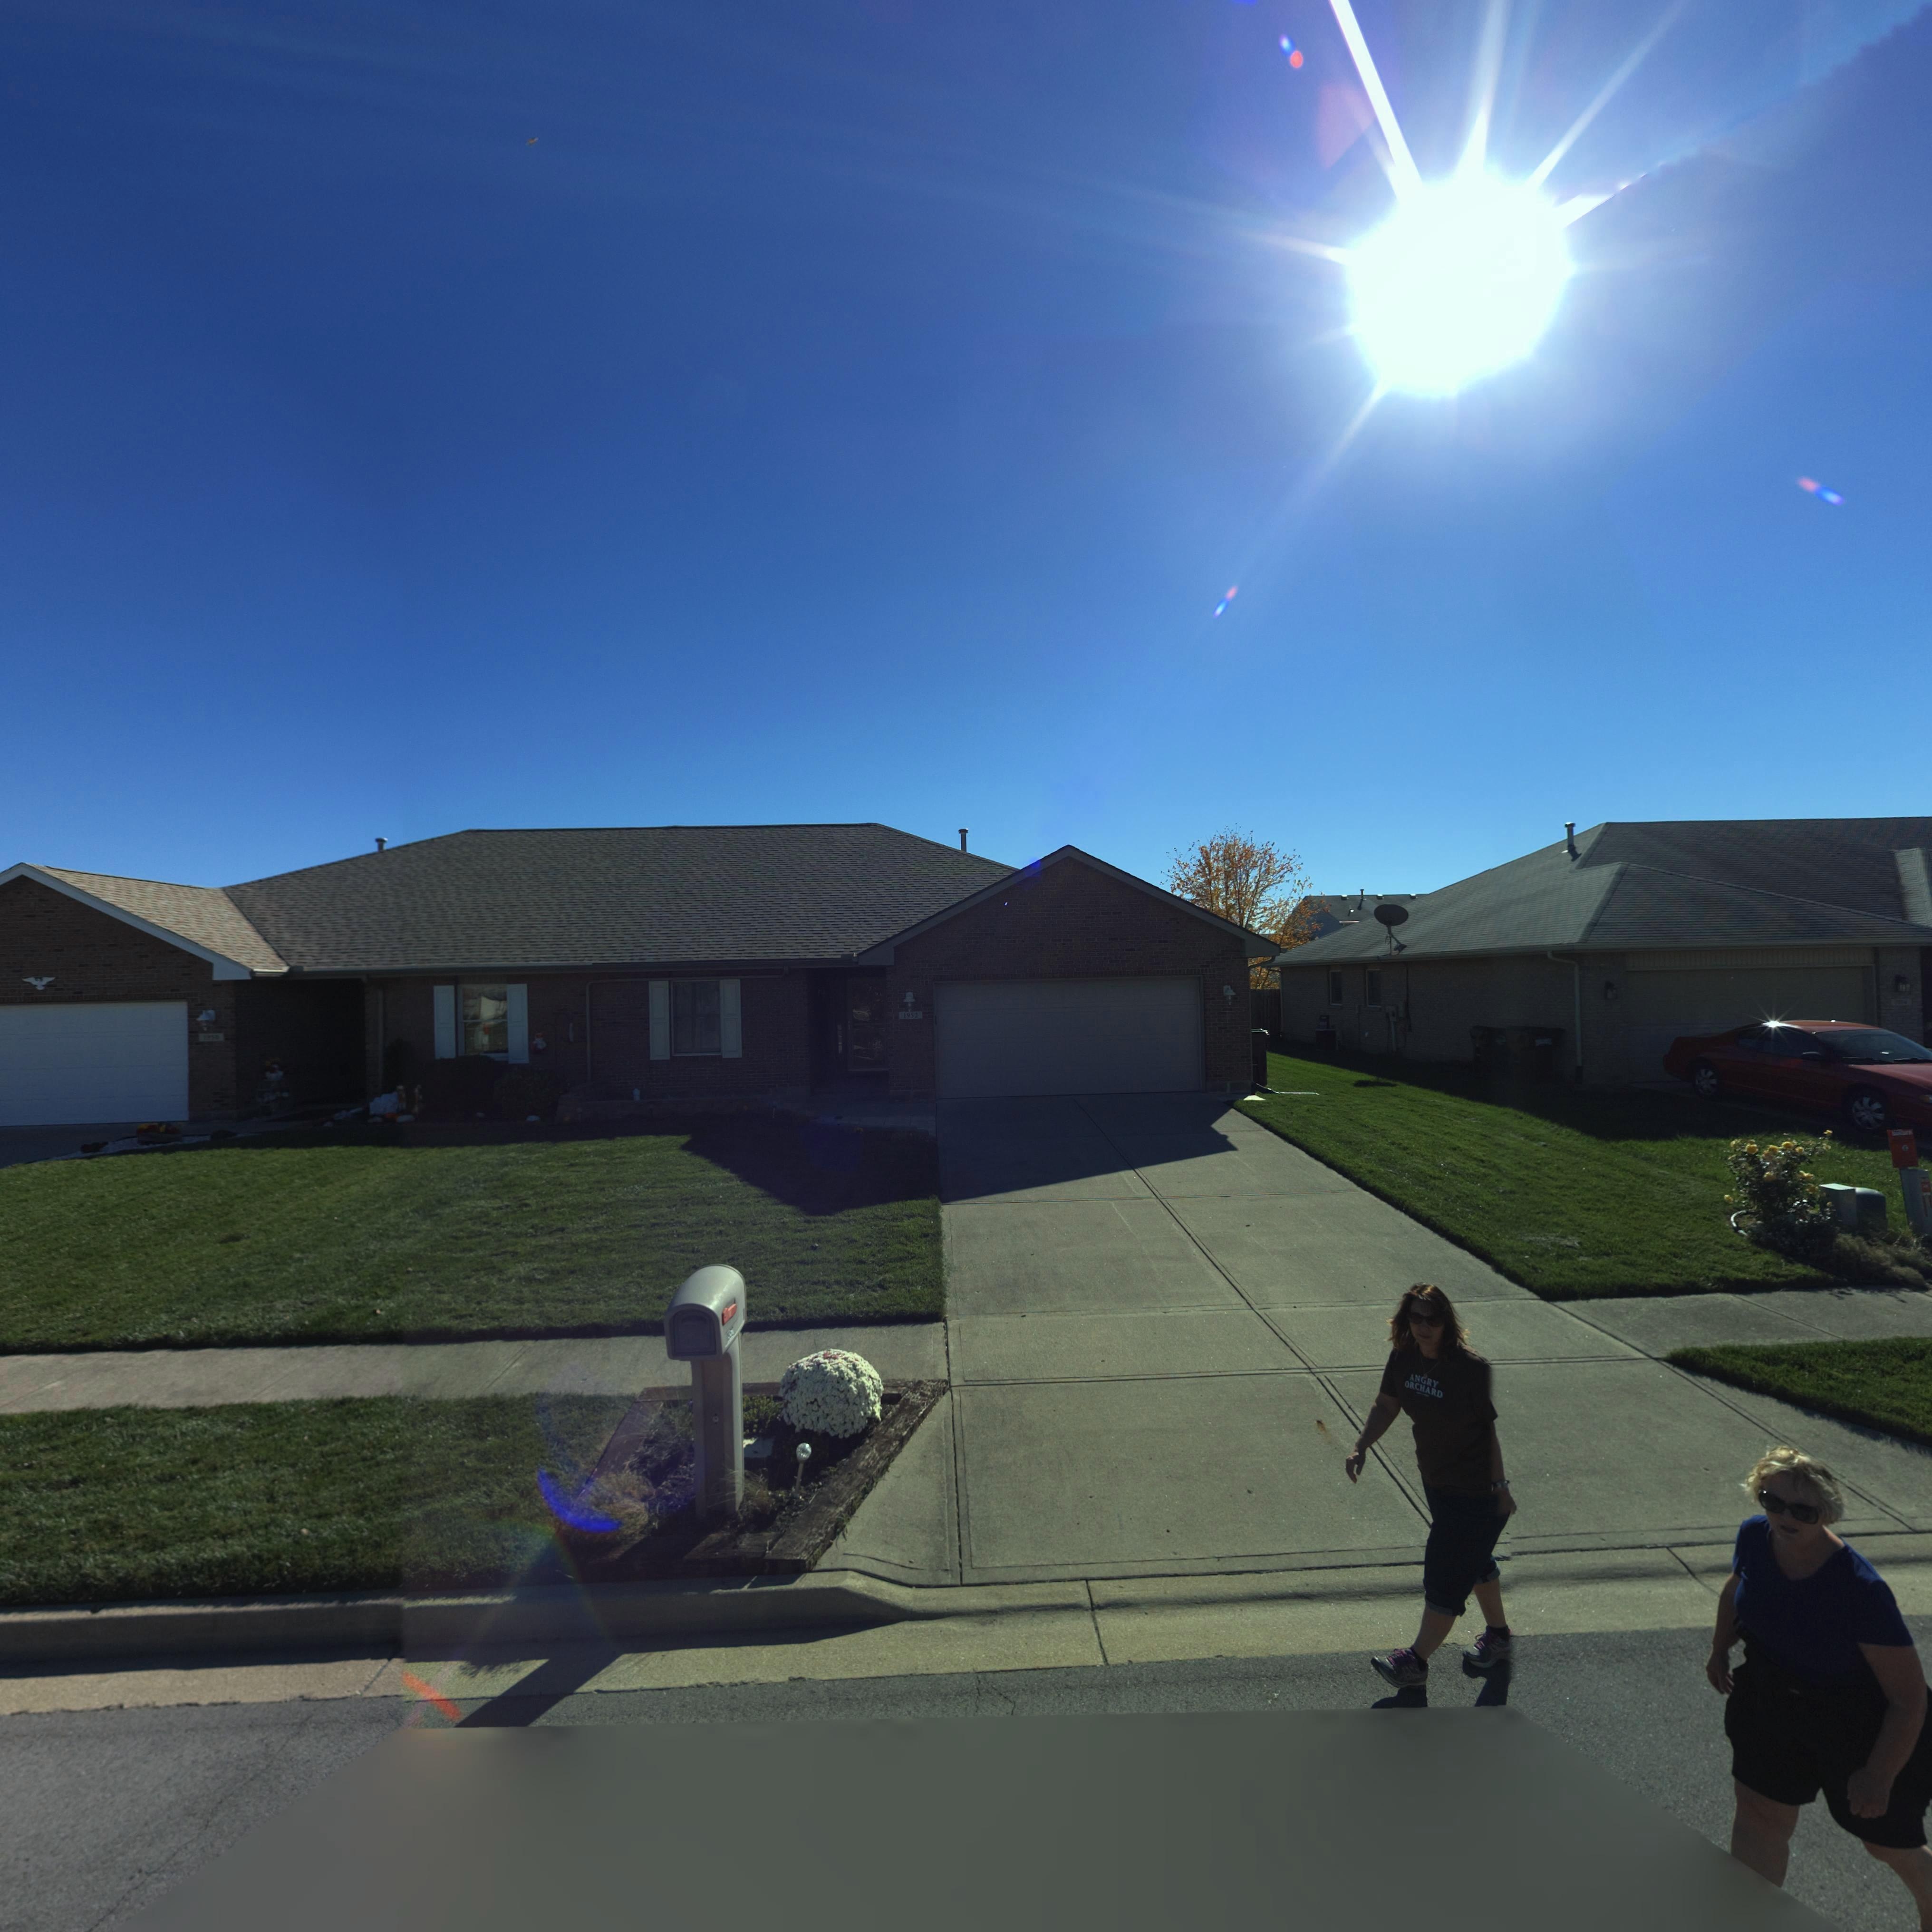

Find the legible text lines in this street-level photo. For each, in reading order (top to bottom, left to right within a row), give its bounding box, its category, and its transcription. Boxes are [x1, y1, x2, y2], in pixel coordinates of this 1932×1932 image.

[903, 1011, 919, 1020] StreetNumber: 1952